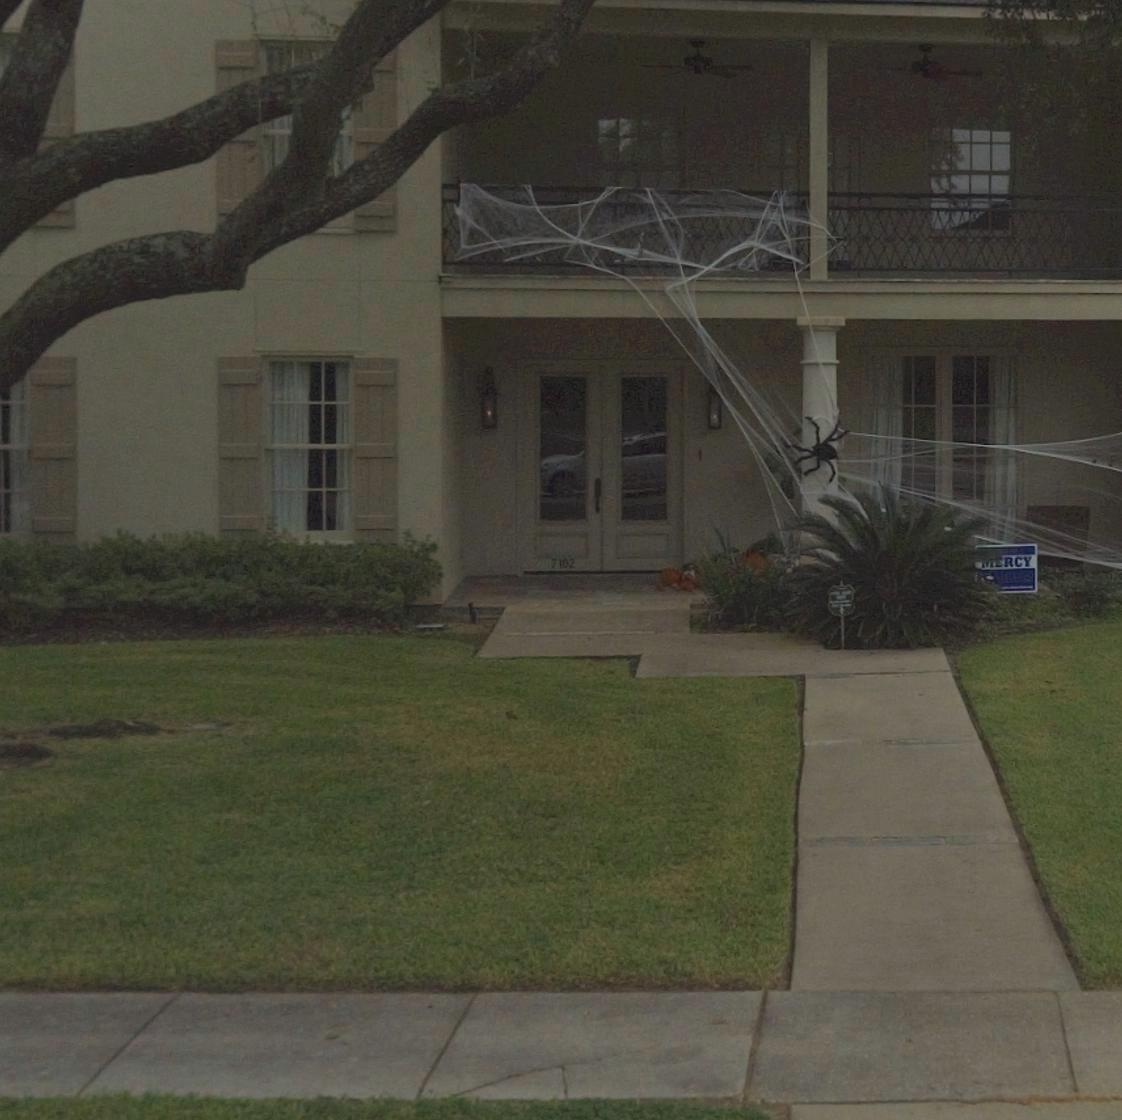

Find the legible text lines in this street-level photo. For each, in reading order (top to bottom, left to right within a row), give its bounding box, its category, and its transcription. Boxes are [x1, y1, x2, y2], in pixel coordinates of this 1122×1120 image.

[549, 557, 576, 569] StreetNumber: 7102
[978, 555, 1032, 567] None: *ERCY\